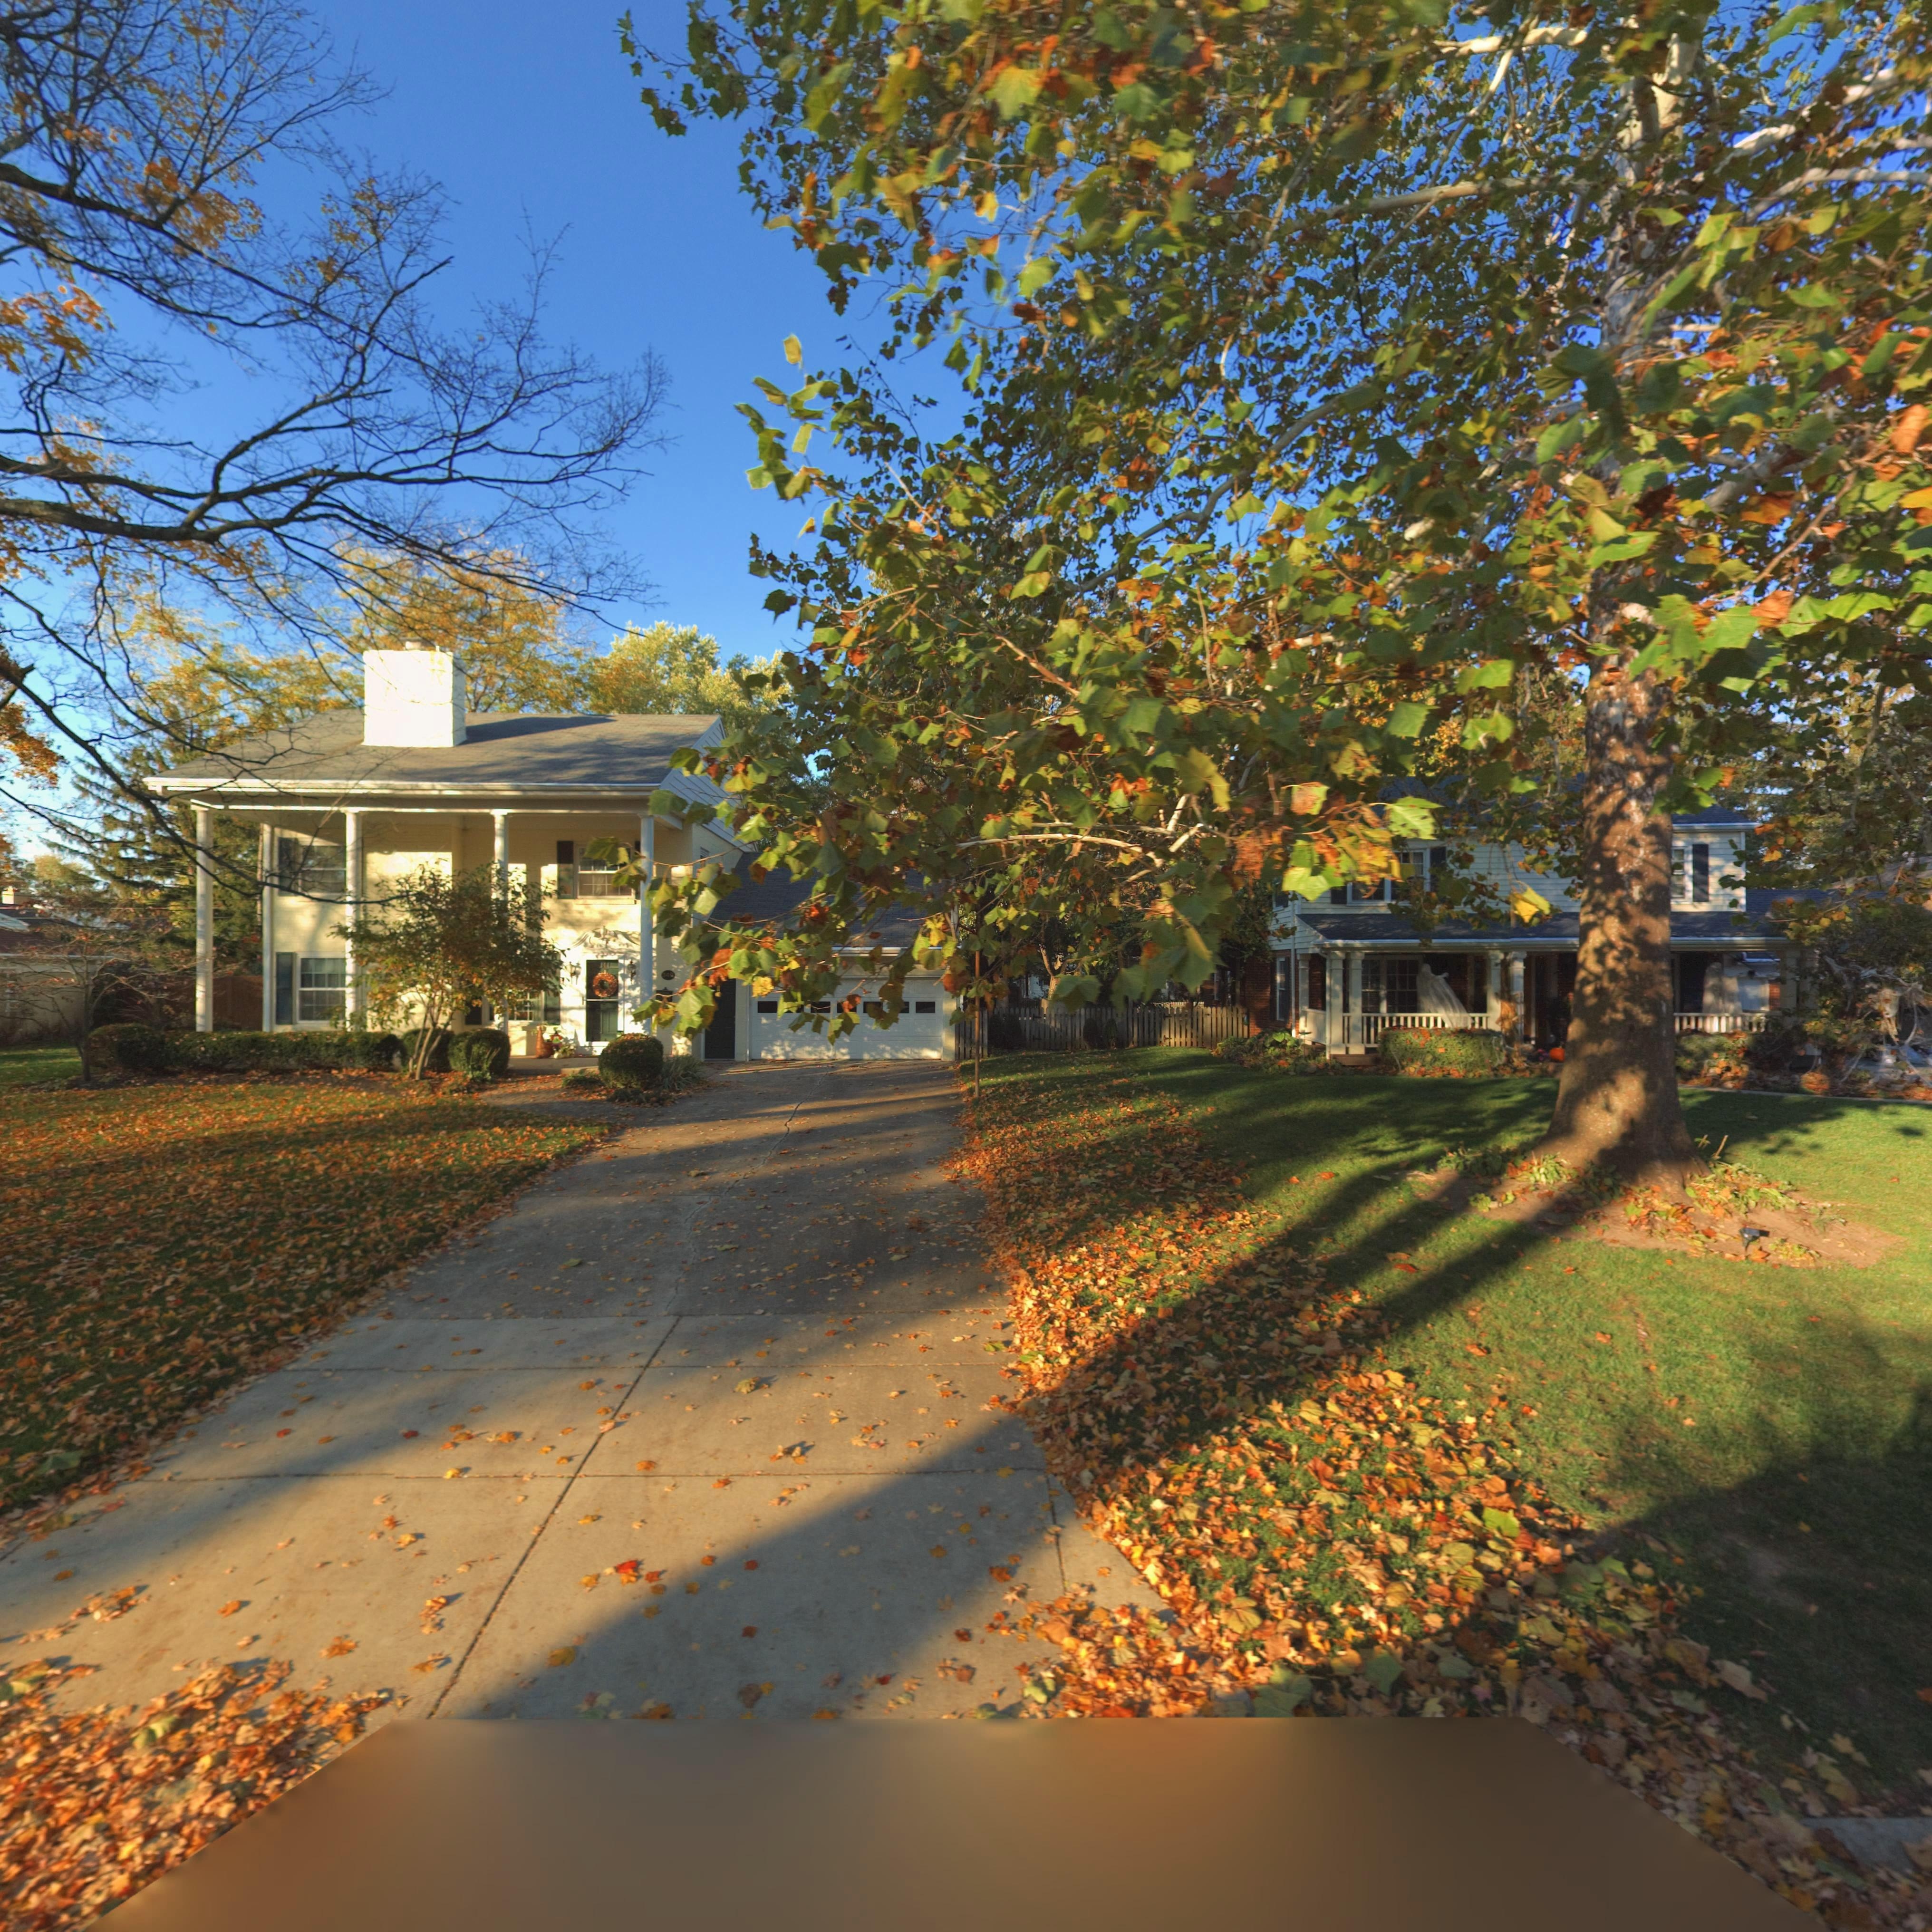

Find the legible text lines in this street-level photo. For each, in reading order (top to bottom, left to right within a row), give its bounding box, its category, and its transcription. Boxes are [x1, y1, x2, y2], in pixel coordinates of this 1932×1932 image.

[661, 972, 674, 978] StreetNumber: *4*